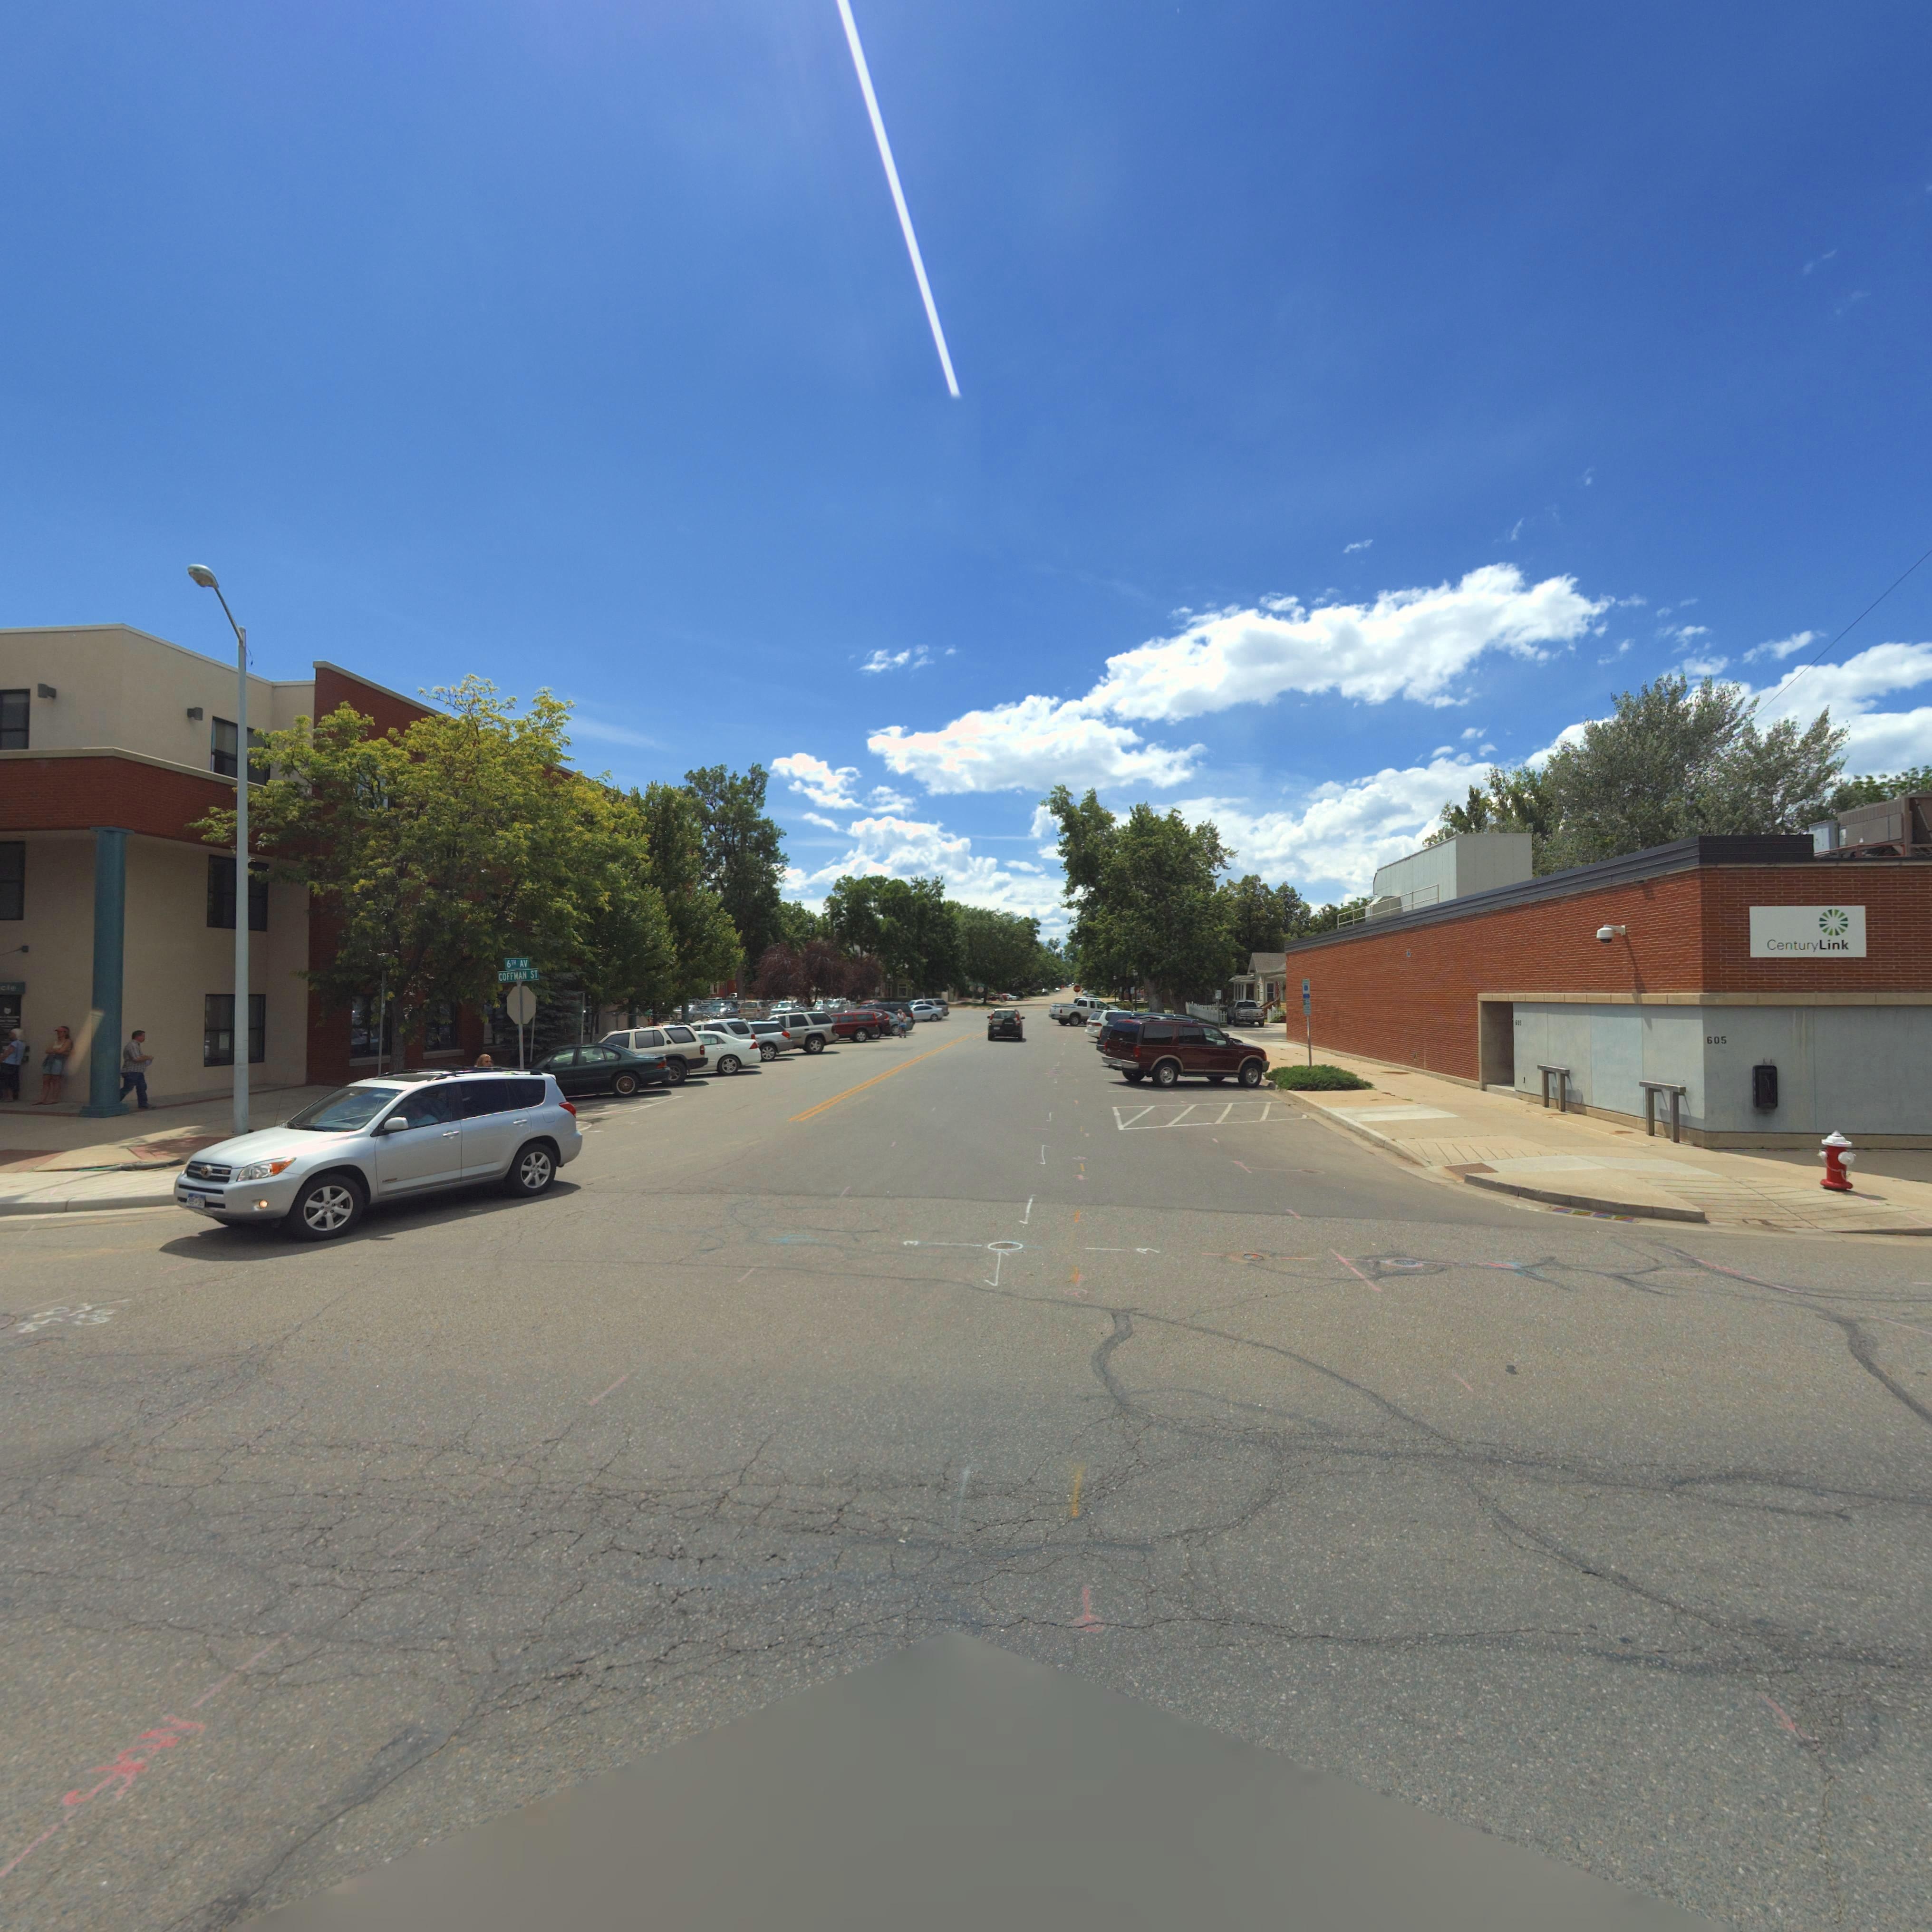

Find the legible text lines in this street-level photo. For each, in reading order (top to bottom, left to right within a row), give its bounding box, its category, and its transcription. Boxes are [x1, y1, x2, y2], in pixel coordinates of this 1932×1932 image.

[1766, 938, 1849, 953] BusinessName: CenturyLink
[506, 959, 528, 968] StreetName: 6th AV
[498, 969, 538, 982] StreetName: COFFMAN ST
[0, 983, 17, 992] BusinessName: cle
[1515, 1020, 1522, 1026] StreetNumber: 605
[1706, 1036, 1727, 1044] StreetNumber: 605